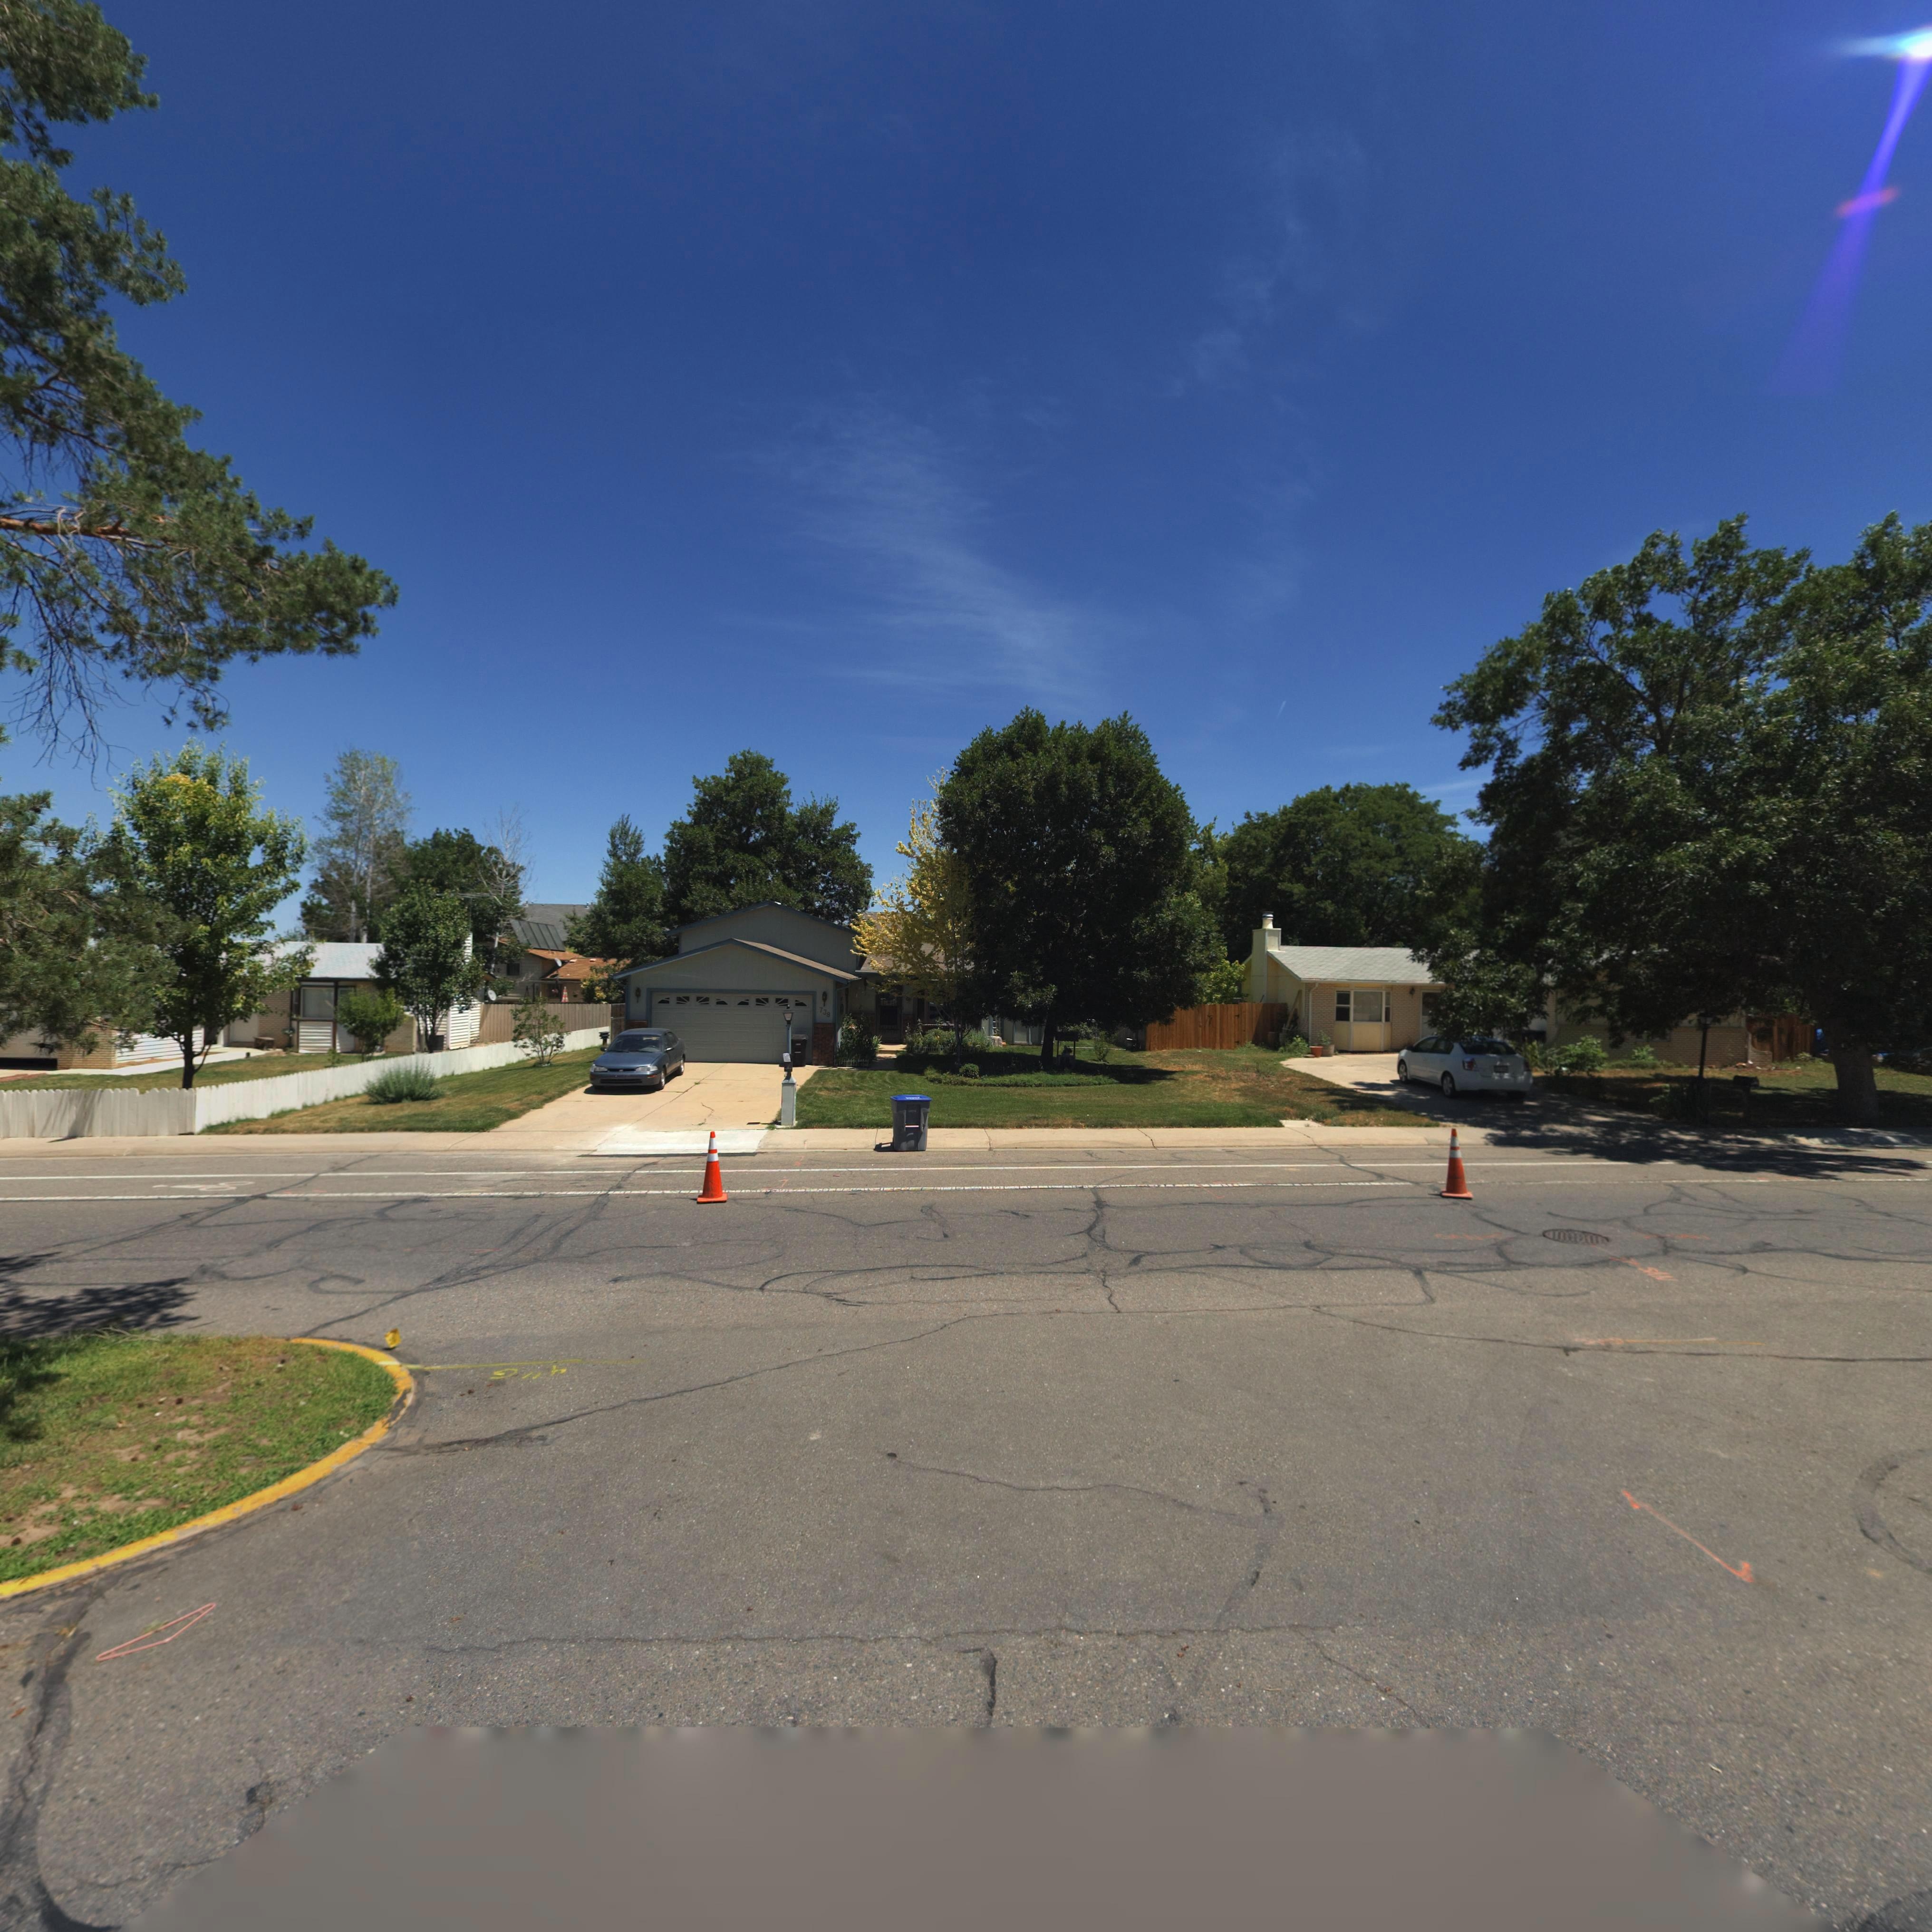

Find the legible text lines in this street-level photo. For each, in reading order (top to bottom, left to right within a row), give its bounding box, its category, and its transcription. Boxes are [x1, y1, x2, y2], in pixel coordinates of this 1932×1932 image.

[819, 1006, 830, 1018] StreetNumber: 738